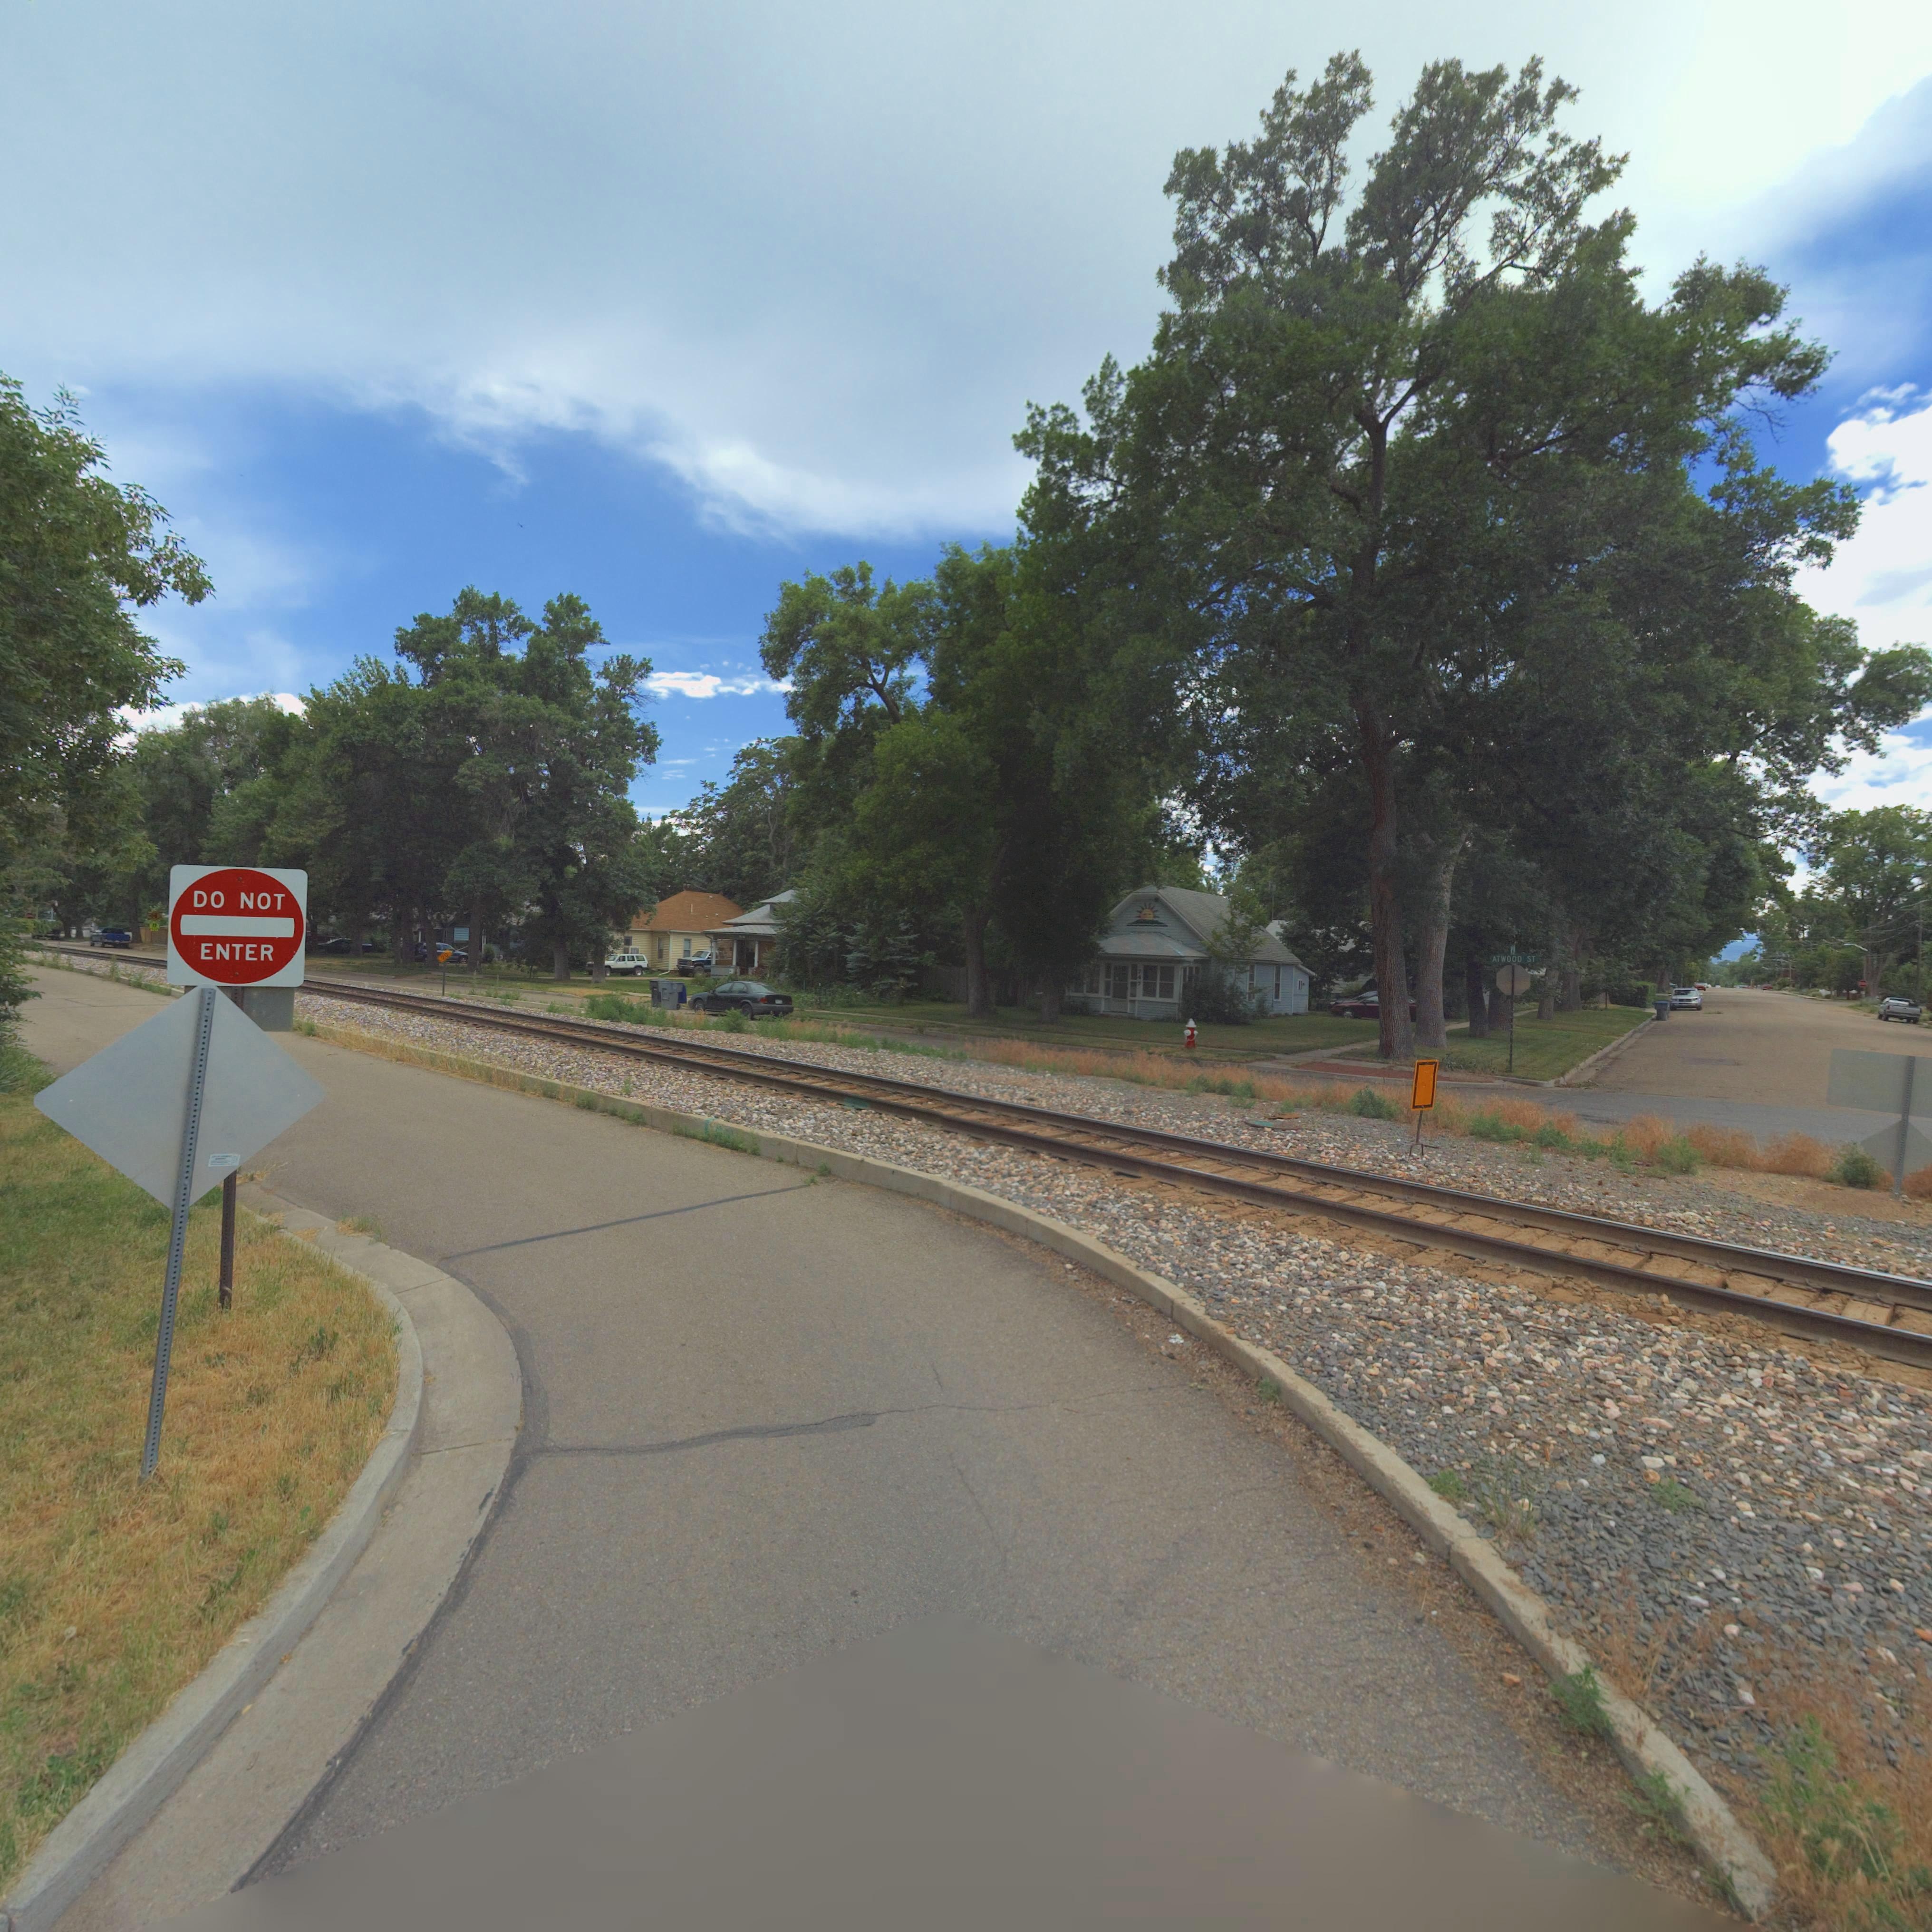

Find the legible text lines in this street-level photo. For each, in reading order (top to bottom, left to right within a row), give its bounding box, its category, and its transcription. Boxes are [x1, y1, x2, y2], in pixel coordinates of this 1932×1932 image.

[1492, 955, 1535, 963] StreetName: ATWOOD ST